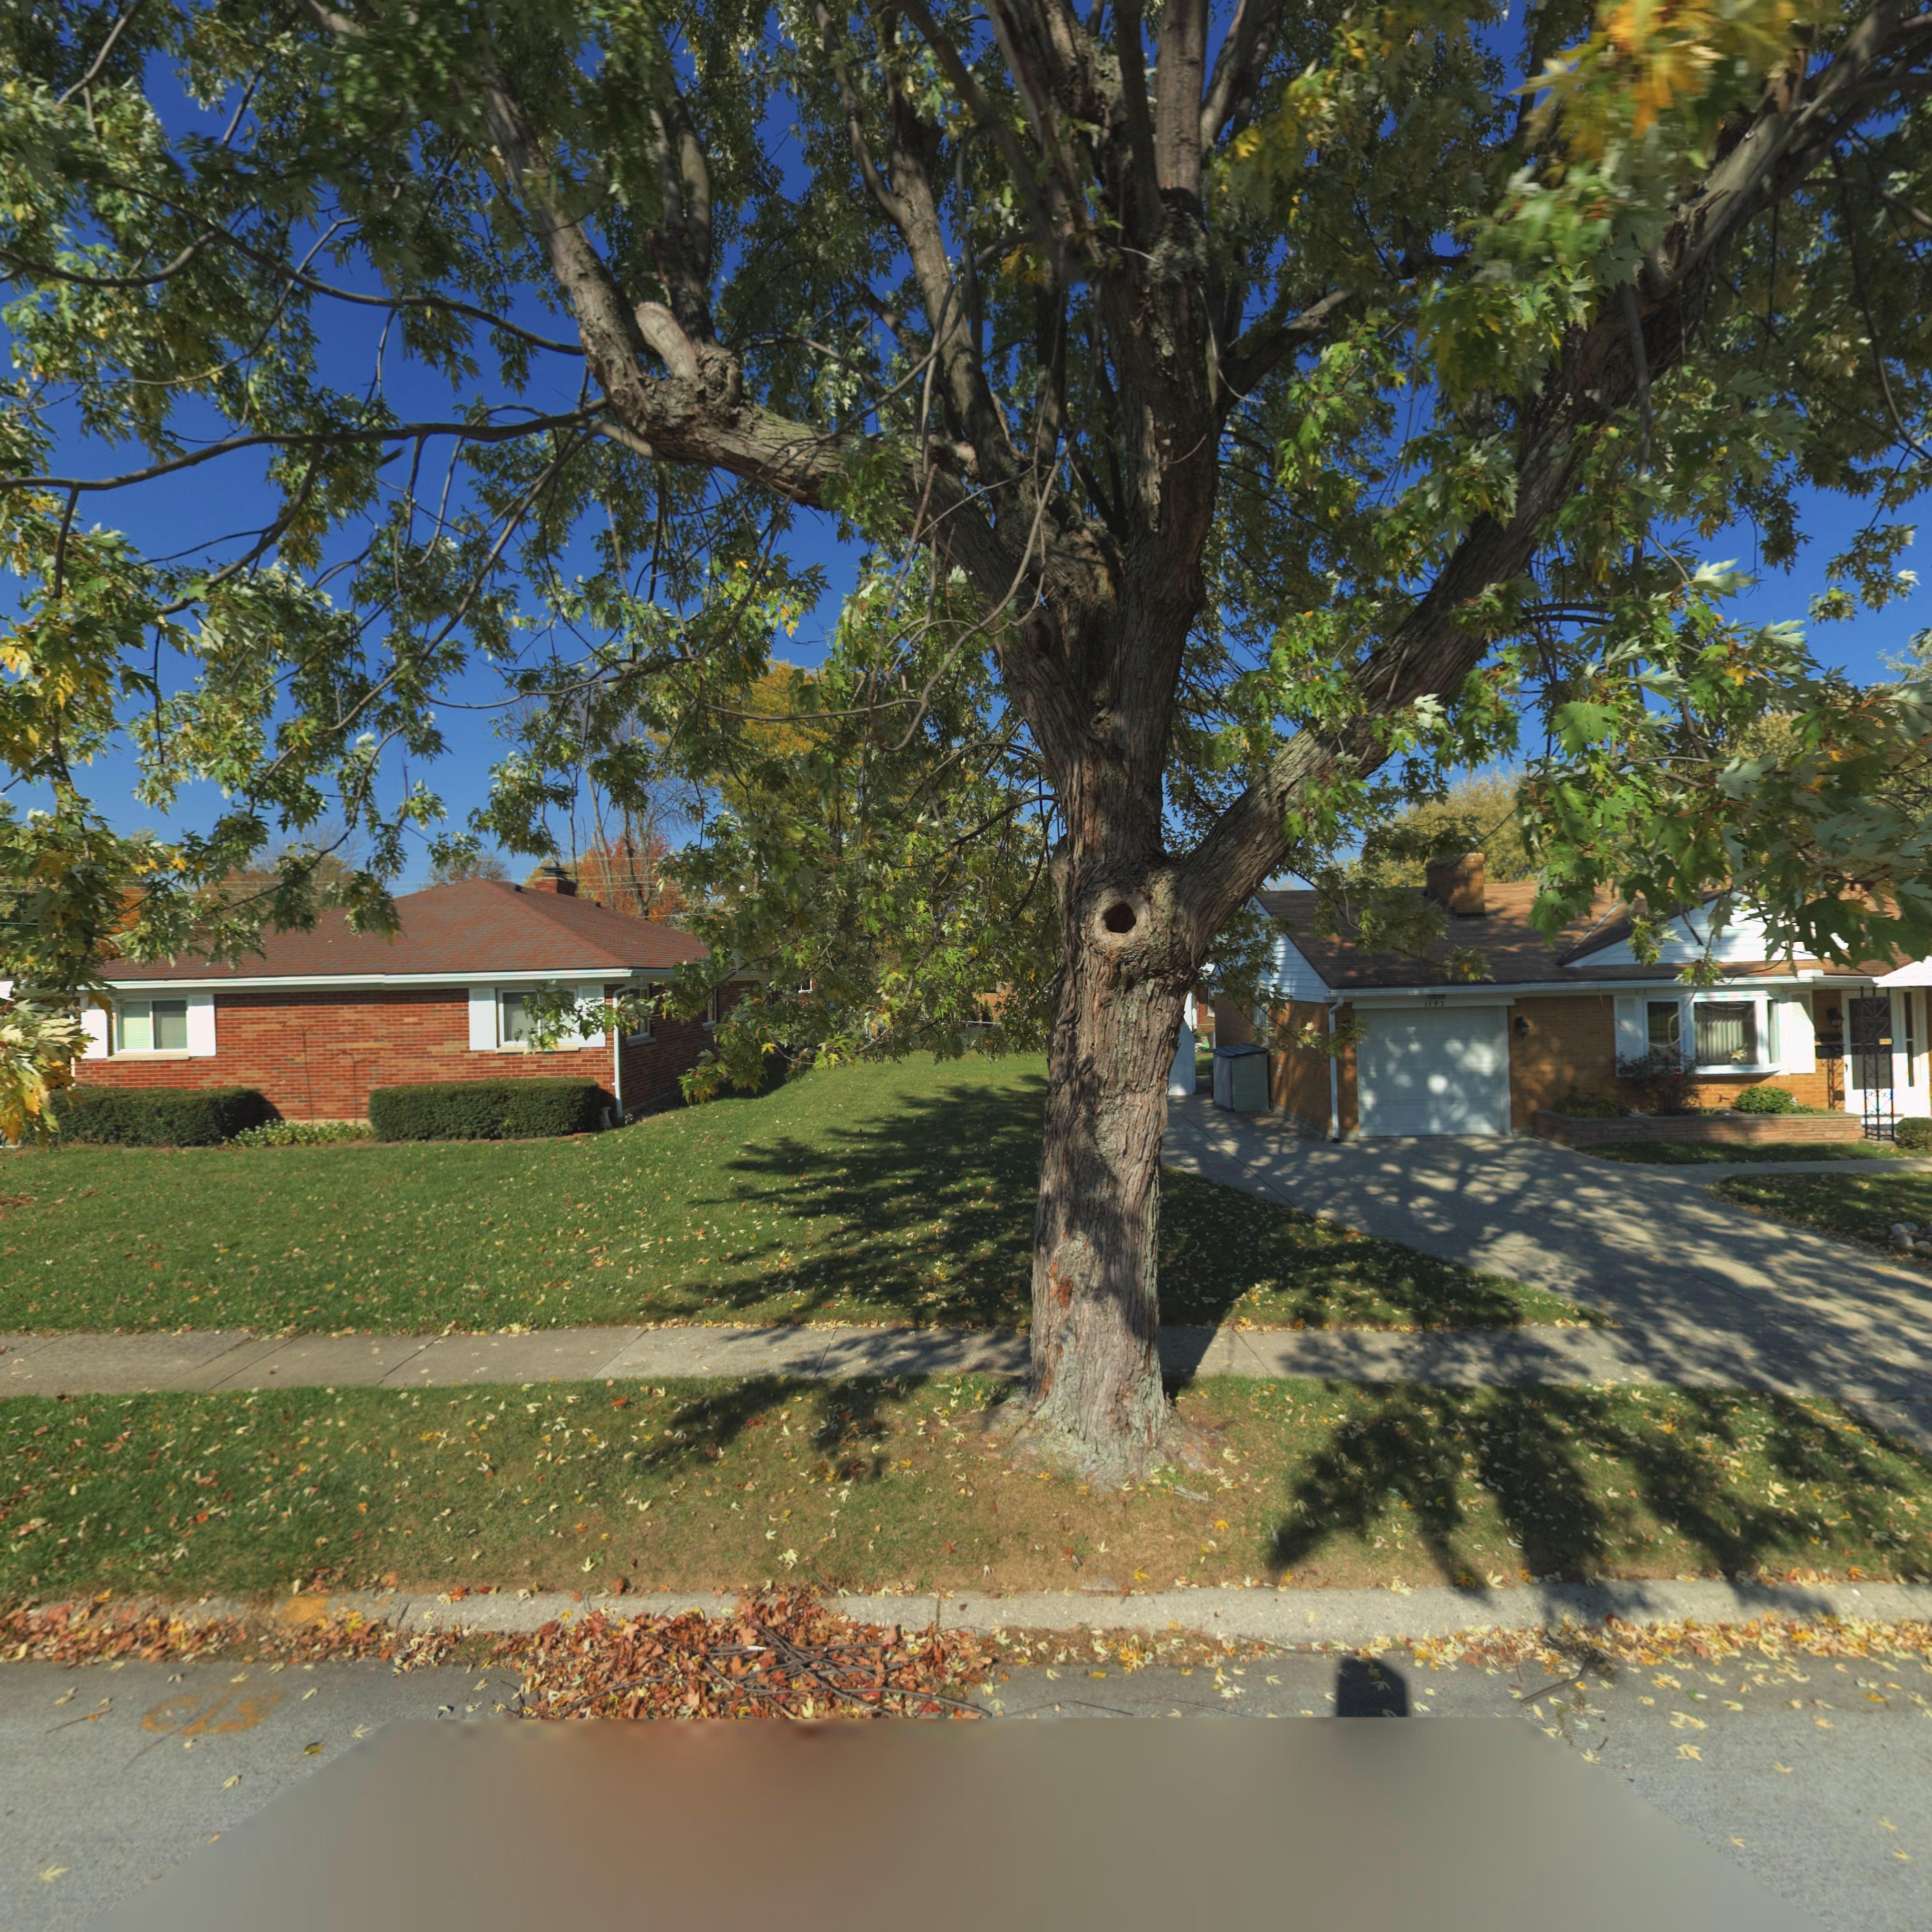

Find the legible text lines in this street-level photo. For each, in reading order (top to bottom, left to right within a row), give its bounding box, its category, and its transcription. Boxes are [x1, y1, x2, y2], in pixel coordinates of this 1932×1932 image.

[1424, 1000, 1445, 1007] StreetNumber: 1143
[1879, 1038, 1891, 1044] StreetNumber: 1143